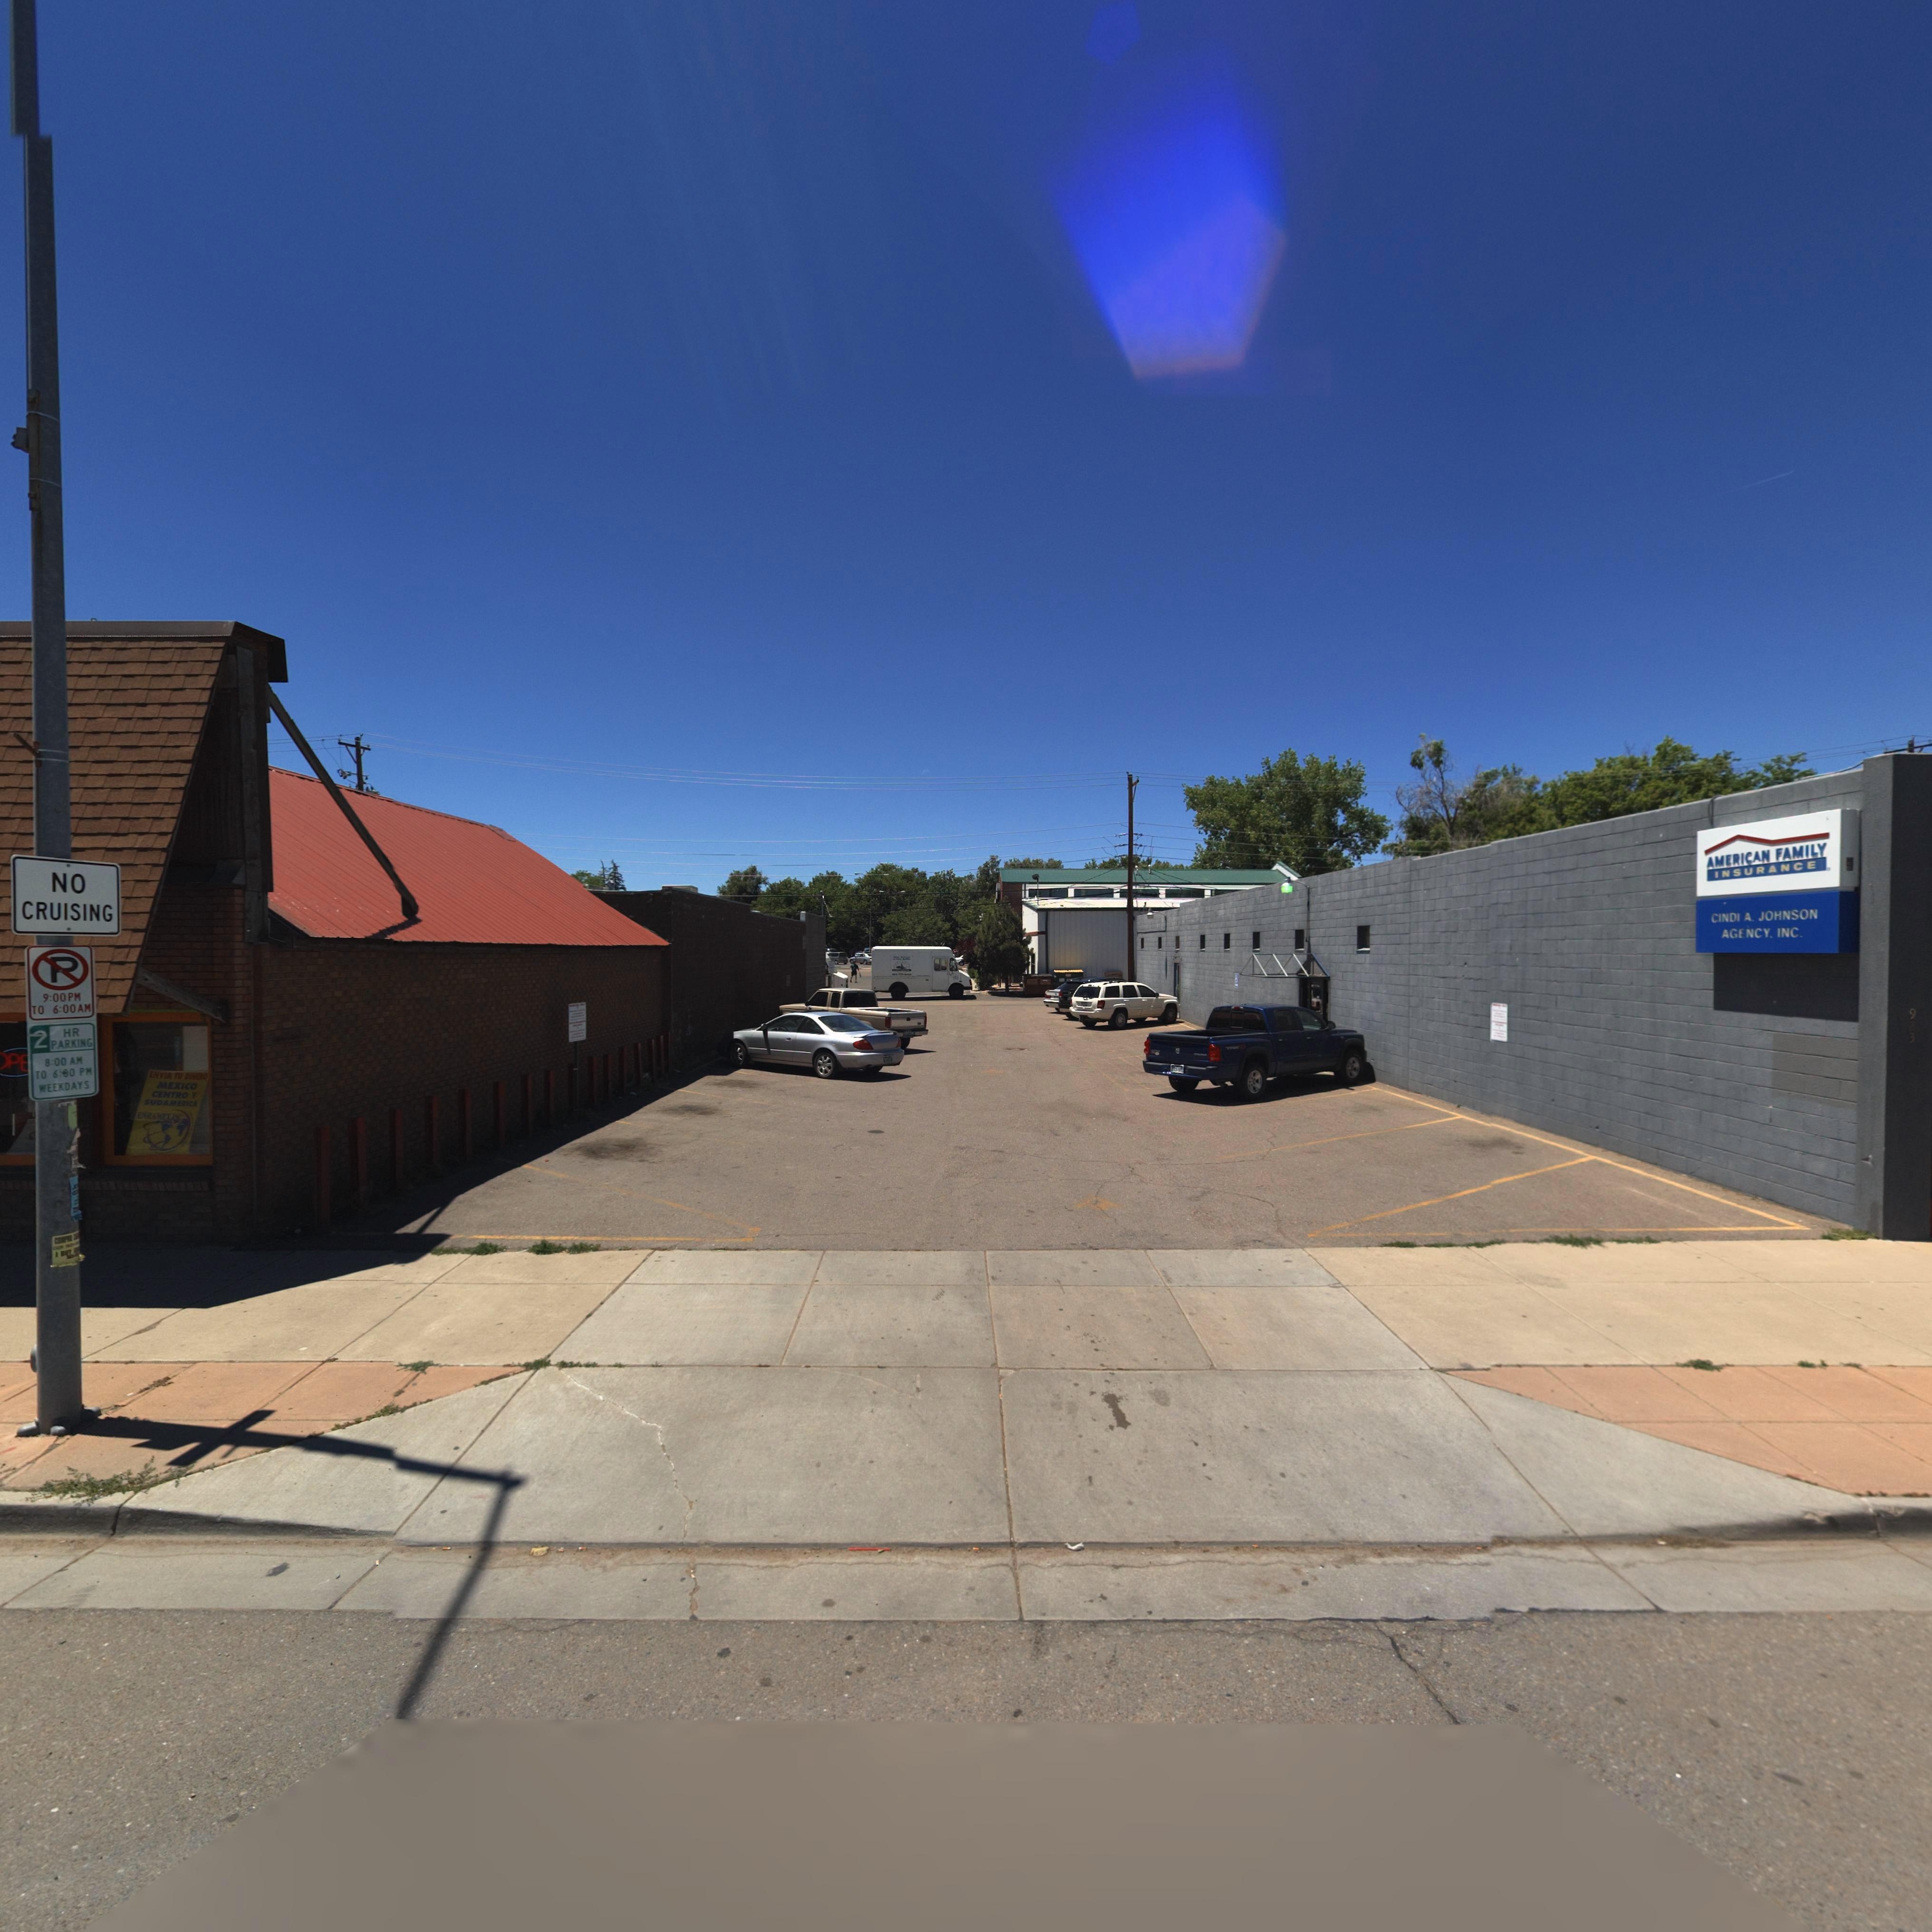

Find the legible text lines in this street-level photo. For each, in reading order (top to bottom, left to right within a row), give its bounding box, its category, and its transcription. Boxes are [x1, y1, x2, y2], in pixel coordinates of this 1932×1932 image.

[1706, 841, 1827, 868] BusinessName: AMERICAN FAMILY
[1714, 860, 1816, 879] BusinessName: INSURANCE